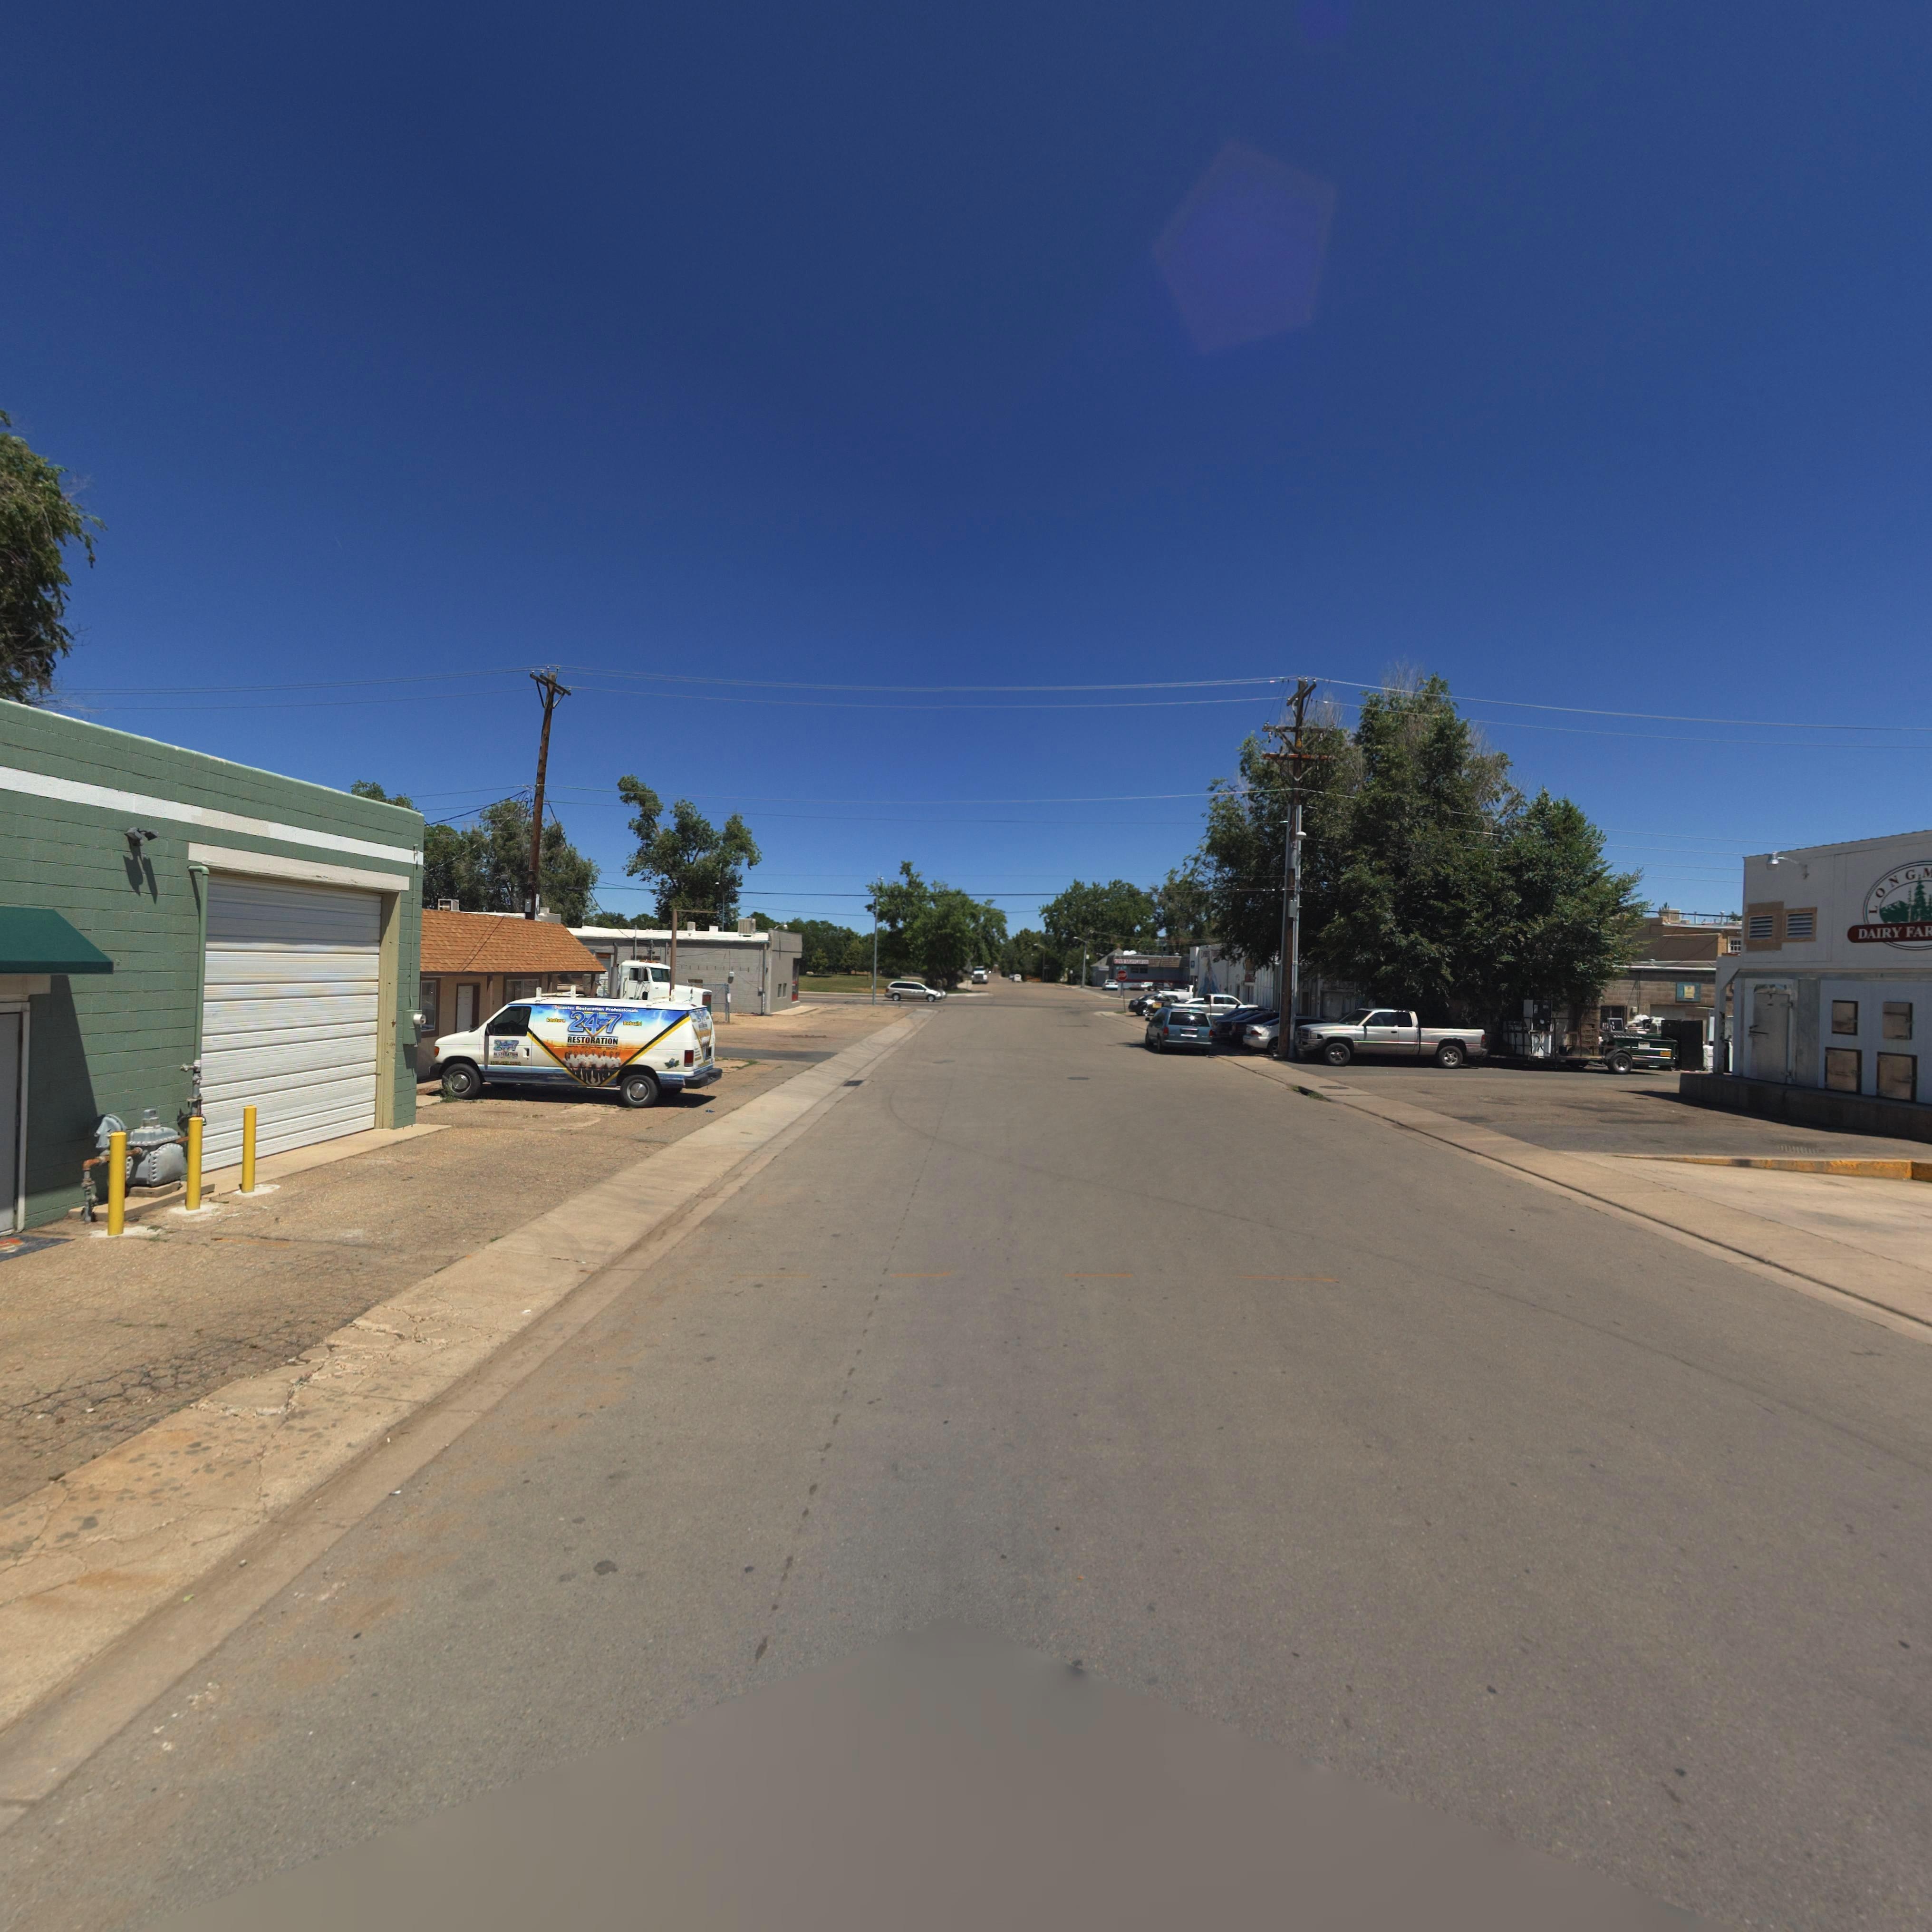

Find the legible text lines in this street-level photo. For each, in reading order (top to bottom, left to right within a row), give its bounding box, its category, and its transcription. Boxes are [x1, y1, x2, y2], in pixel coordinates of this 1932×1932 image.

[1868, 868, 1916, 914] BusinessName: LONG
[1857, 925, 1925, 939] BusinessName: DAIRY FA